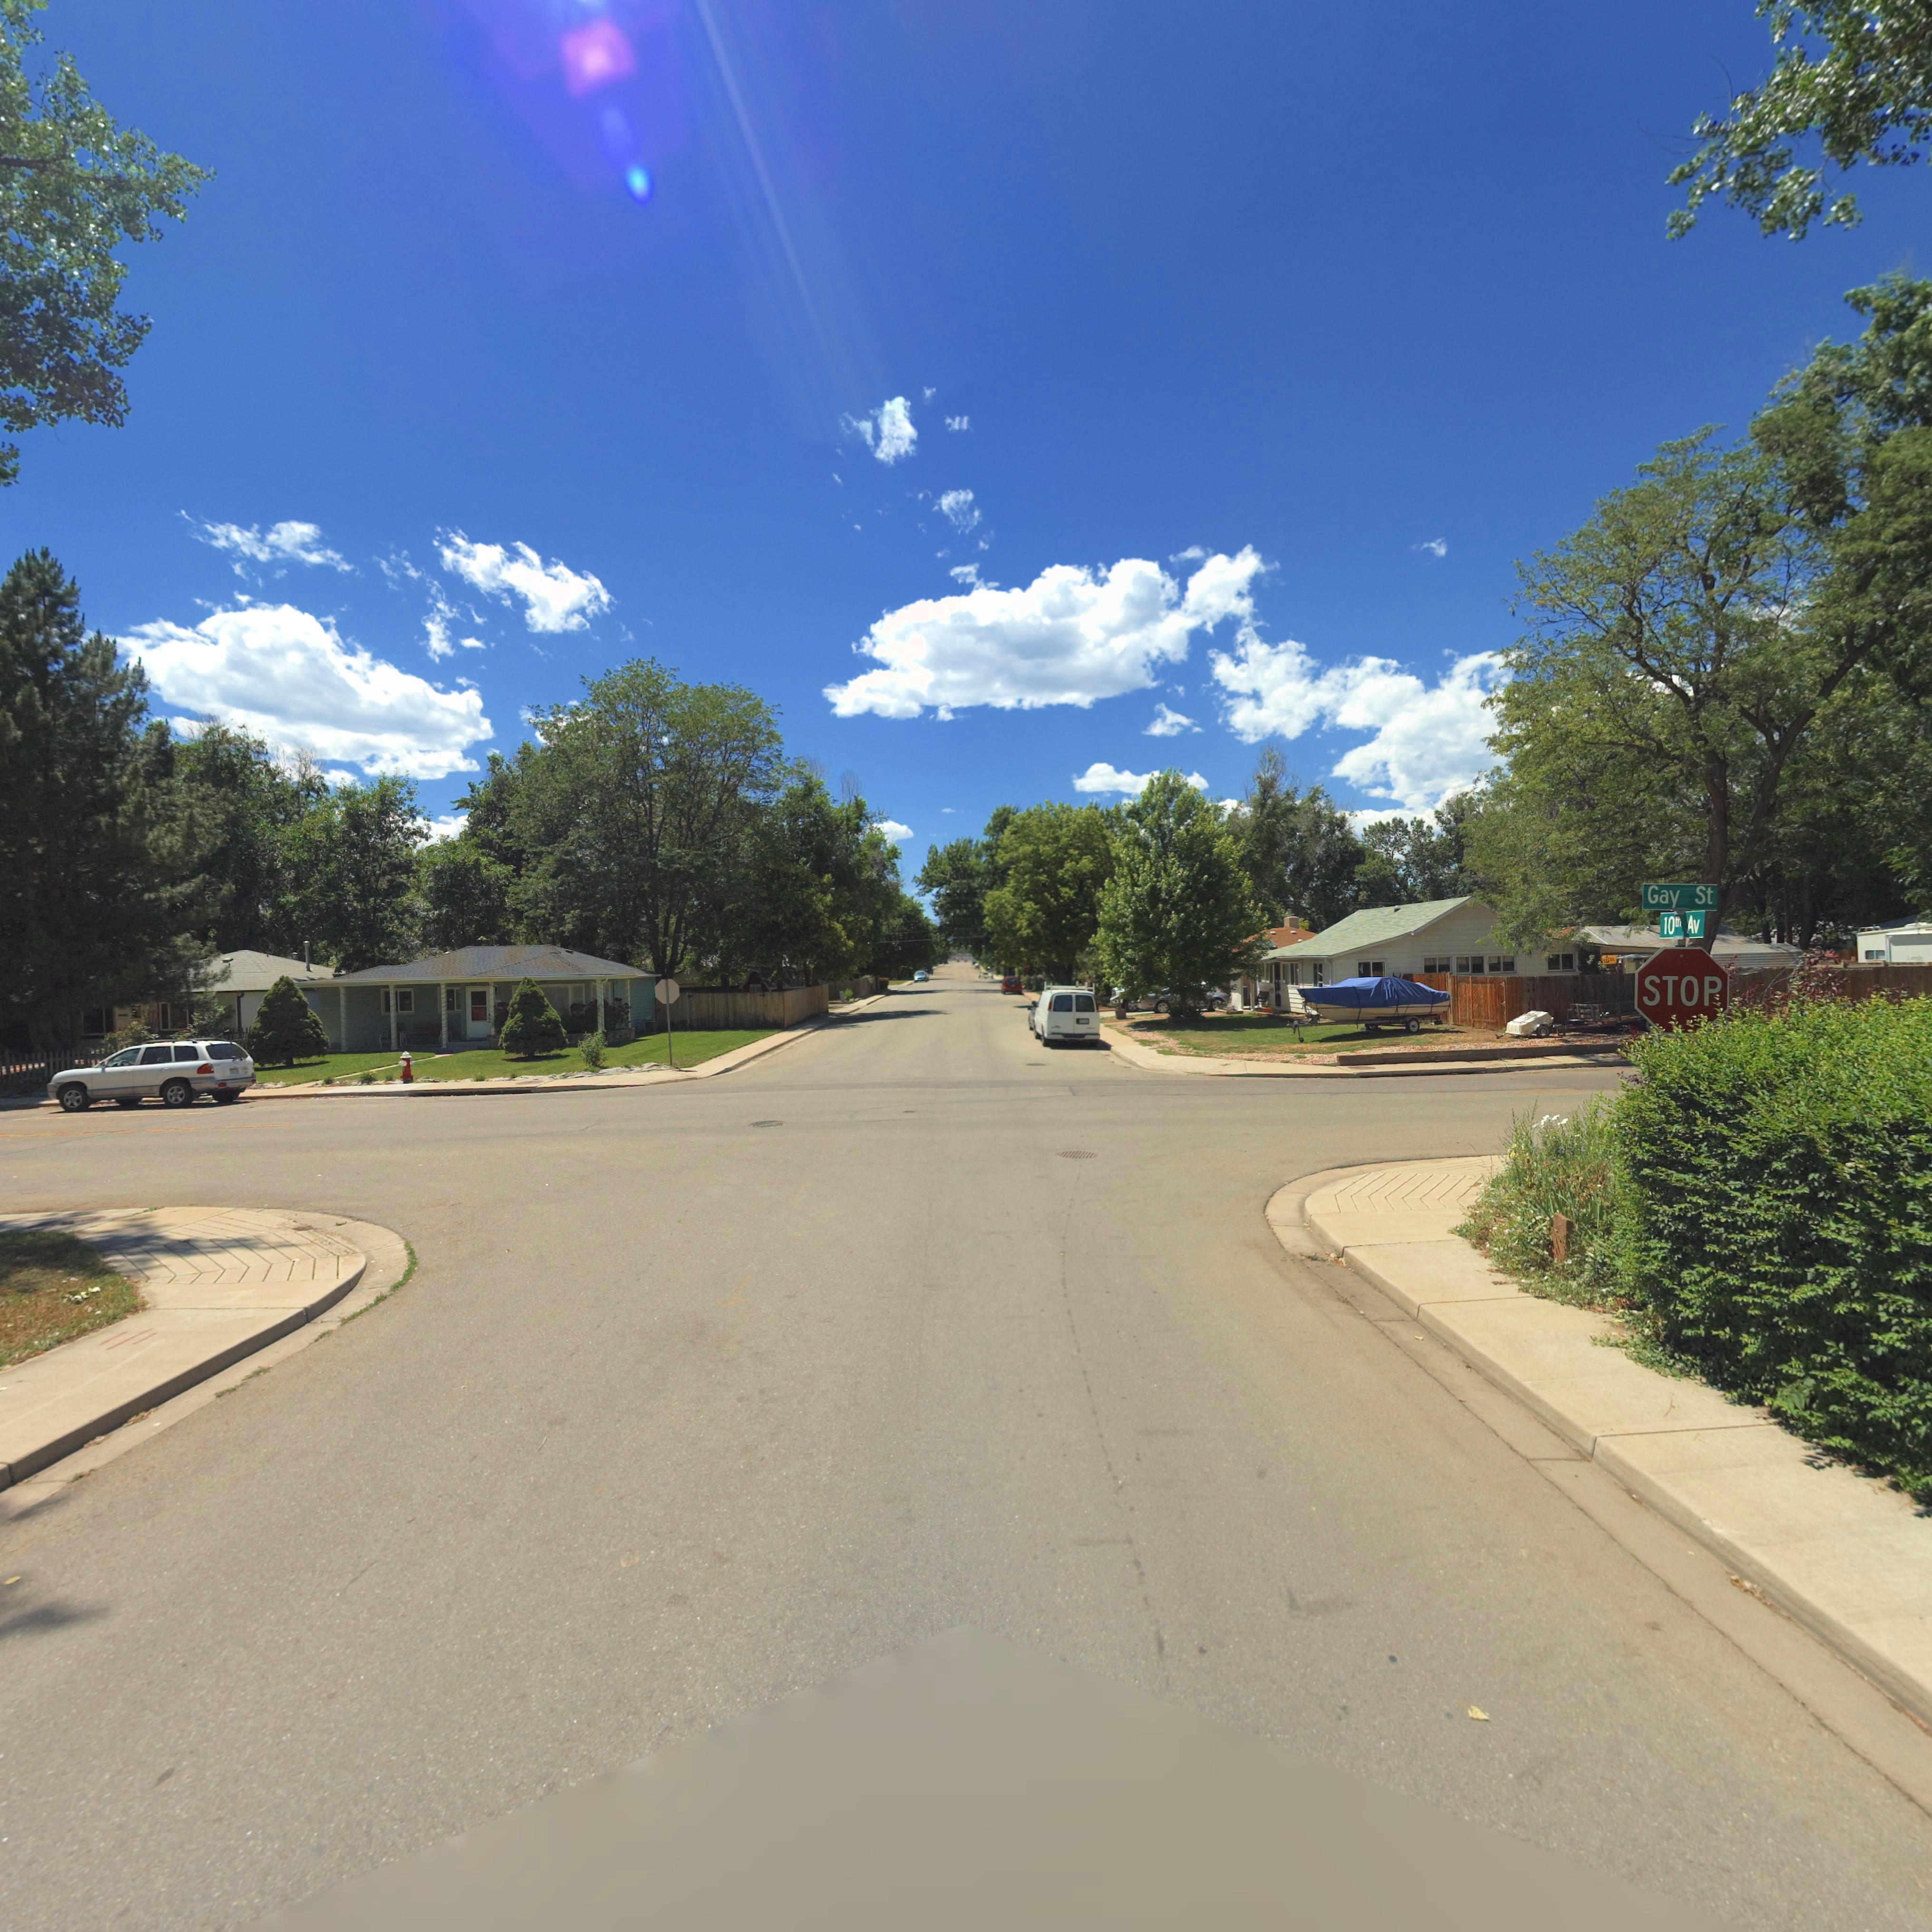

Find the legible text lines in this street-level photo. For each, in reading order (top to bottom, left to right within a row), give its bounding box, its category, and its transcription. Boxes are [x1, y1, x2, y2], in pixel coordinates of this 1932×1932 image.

[1646, 884, 1713, 909] StreetName: Gay St
[1663, 914, 1700, 935] StreetName: 10th Av